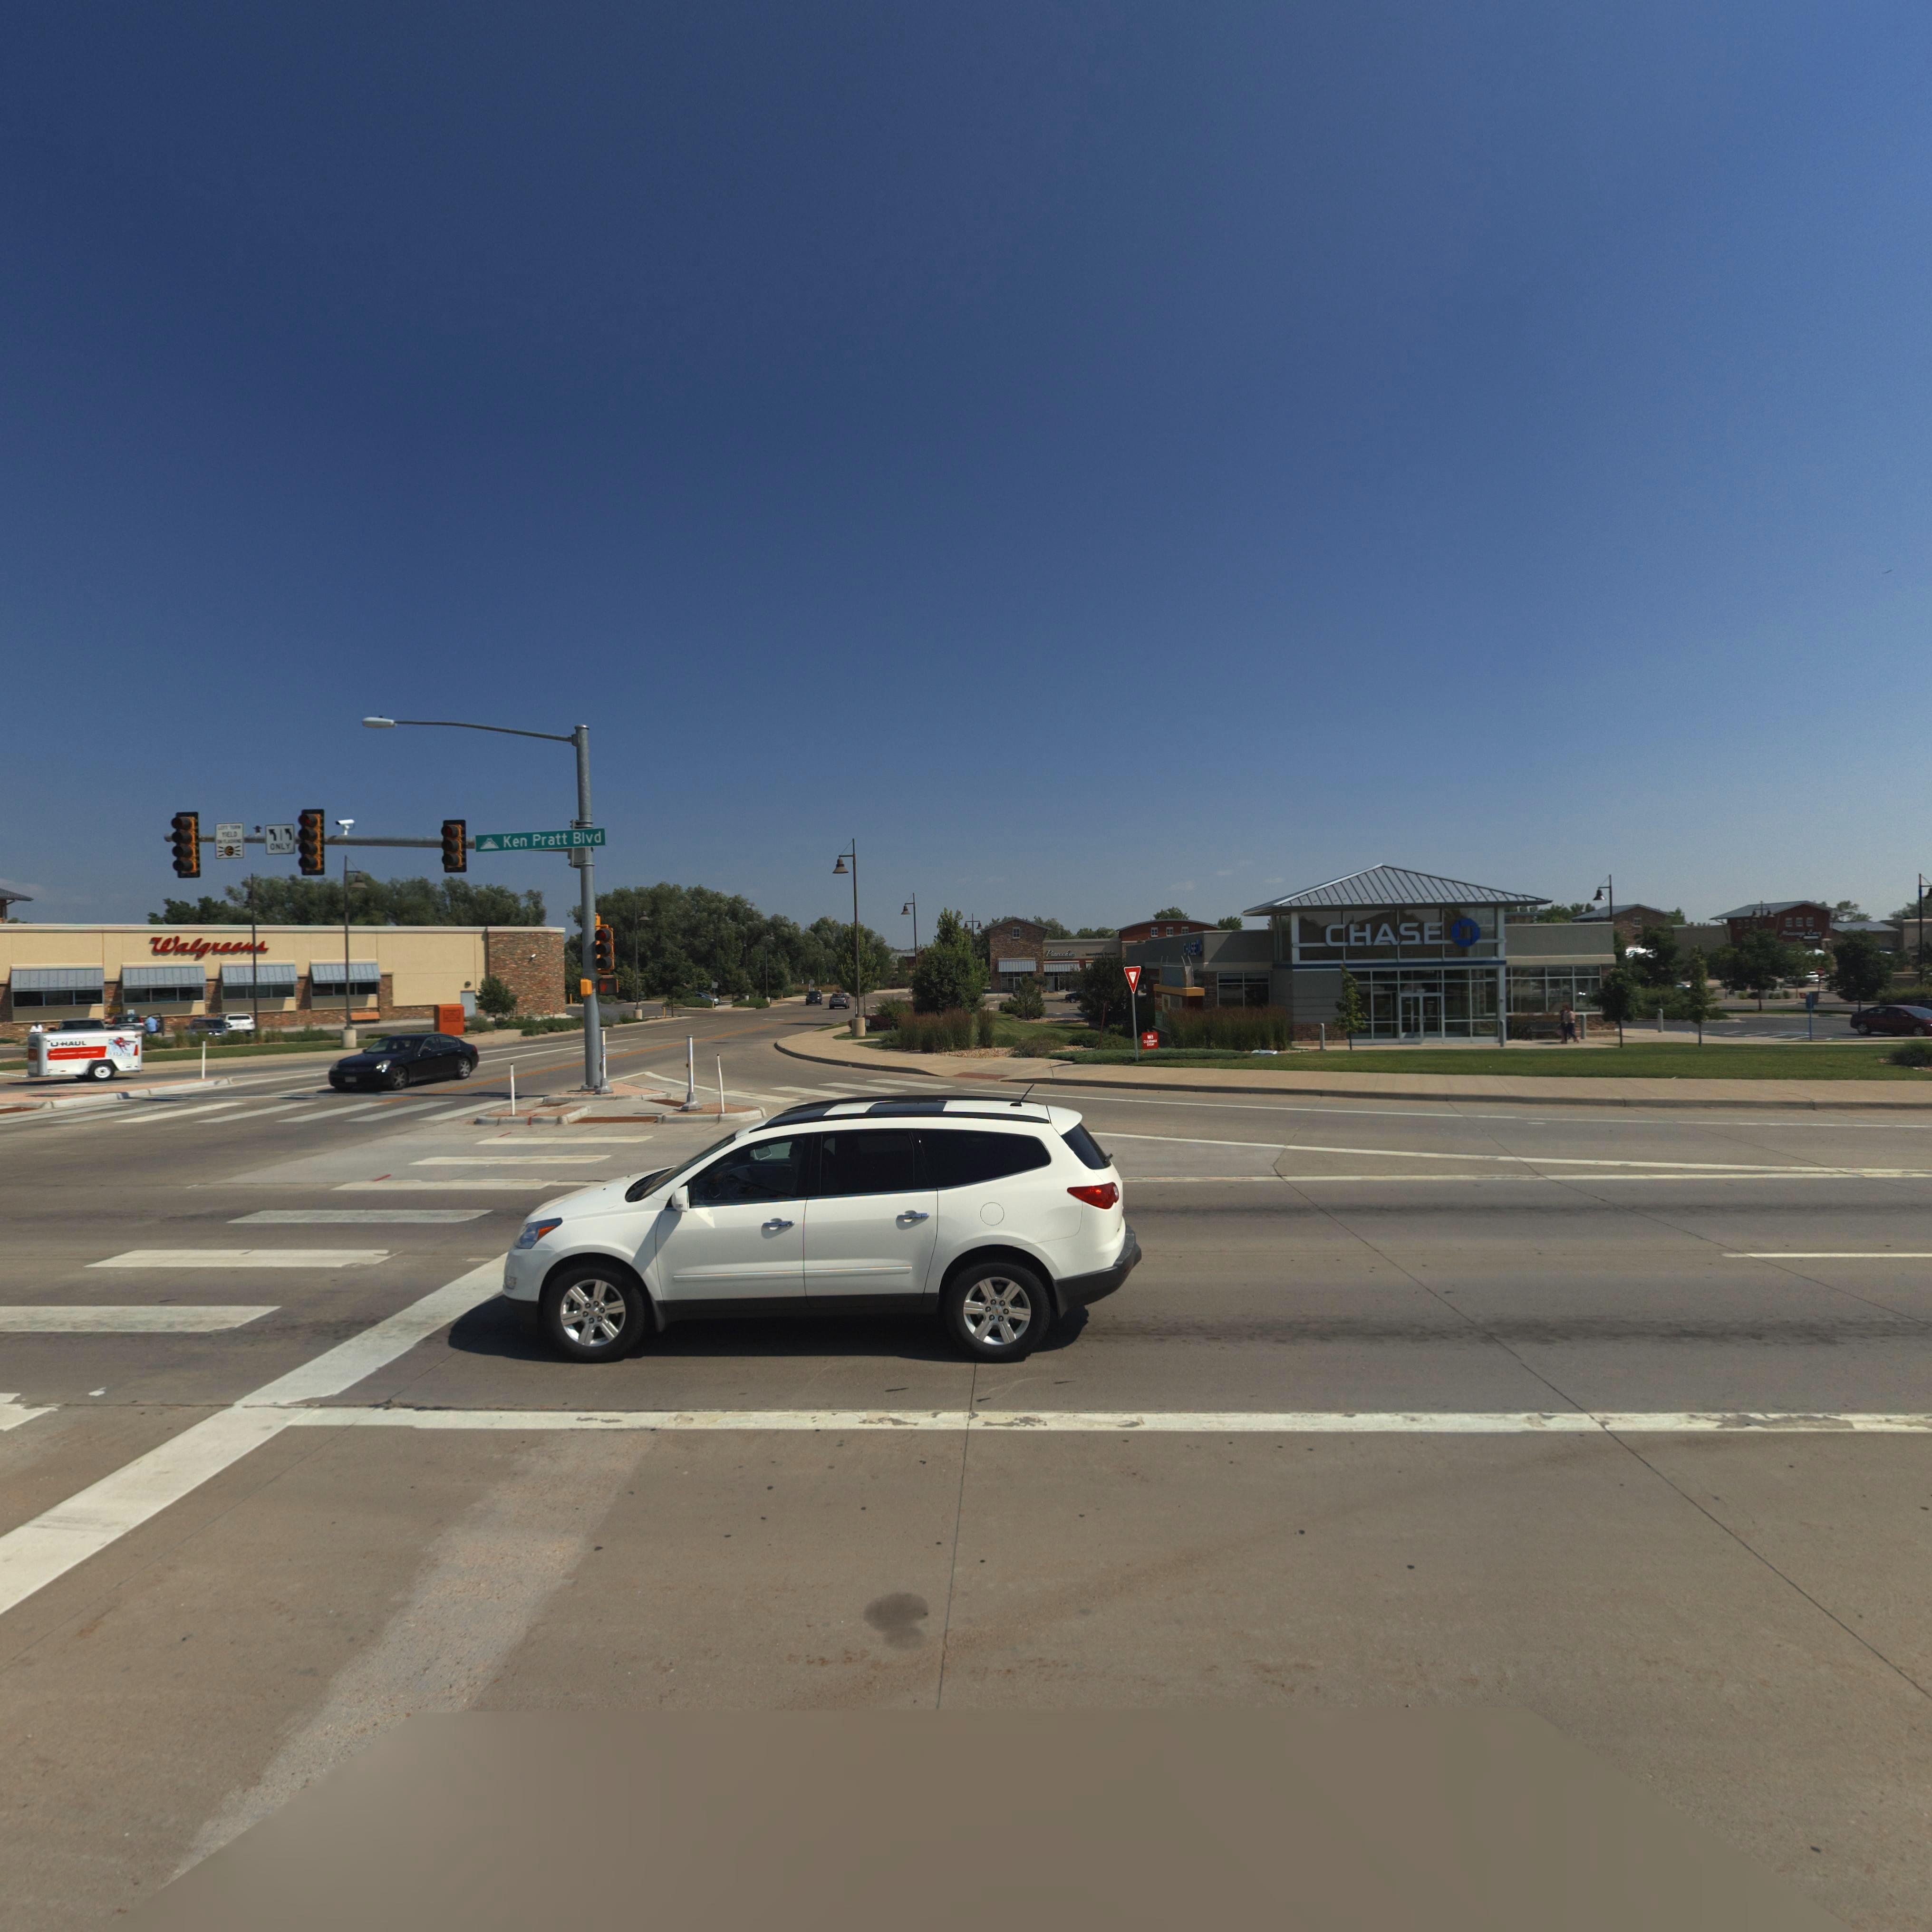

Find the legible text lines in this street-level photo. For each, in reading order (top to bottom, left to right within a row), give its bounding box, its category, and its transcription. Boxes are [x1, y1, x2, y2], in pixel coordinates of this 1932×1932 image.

[503, 831, 601, 847] BusinessName: Ken Pratt Blvd
[1325, 922, 1442, 947] BusinessName: CHASE
[1777, 929, 1823, 937] BusinessName: Message Envy
[149, 935, 270, 958] BusinessName: Walgreens
[1045, 949, 1077, 957] BusinessName: Pinocchios
[1183, 941, 1196, 956] BusinessName: CHASE